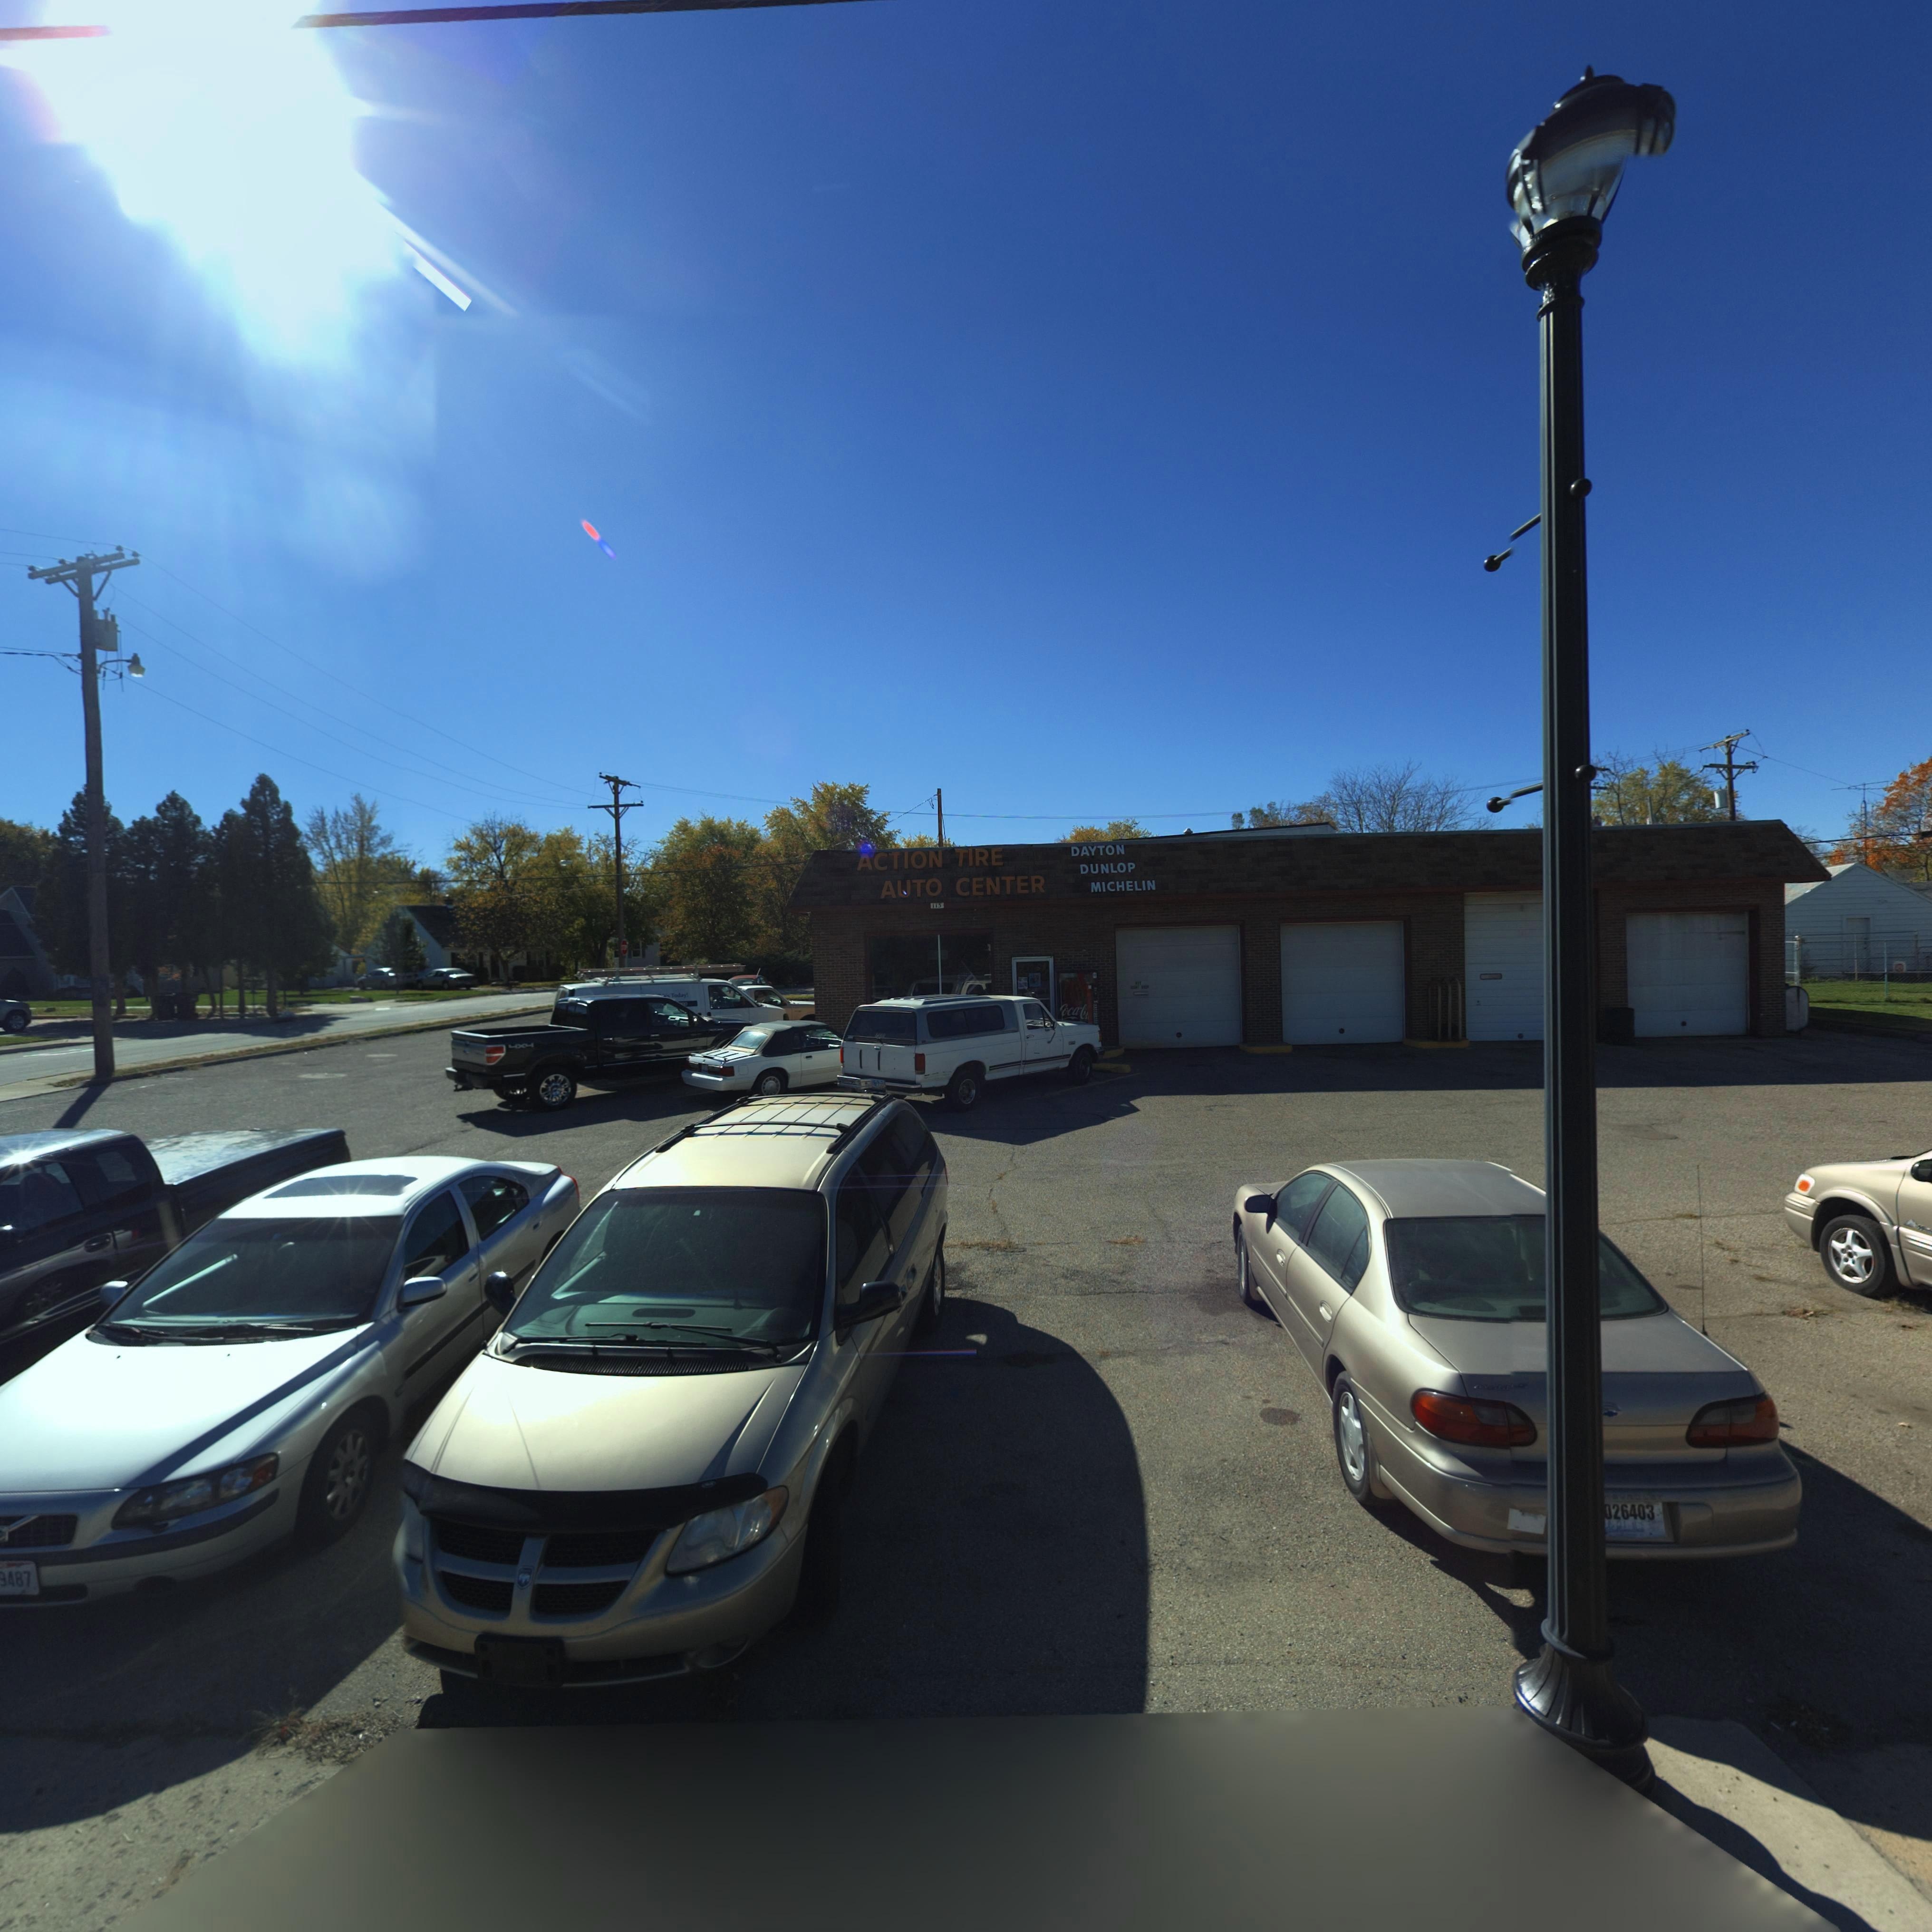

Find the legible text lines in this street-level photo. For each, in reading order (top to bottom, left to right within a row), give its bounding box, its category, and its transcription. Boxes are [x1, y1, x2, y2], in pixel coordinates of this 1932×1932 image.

[1070, 844, 1126, 858] None: DAYTON
[855, 846, 1005, 872] BusinessName: ACTION TIRE
[1079, 861, 1136, 875] None: DUNLOP
[879, 874, 1046, 899] BusinessName: AUTO CENTER
[1090, 879, 1157, 893] None: MICHELIN
[931, 901, 943, 909] StreetNumber: 115
[670, 992, 687, 999] None: Today
[1061, 1006, 1081, 1017] None: oca
[507, 1042, 535, 1050] None: 4x4
[1610, 1493, 1665, 1502] None: EVROLET
[1603, 1502, 1656, 1522] None: 026403
[7, 1570, 33, 1588] None: 487